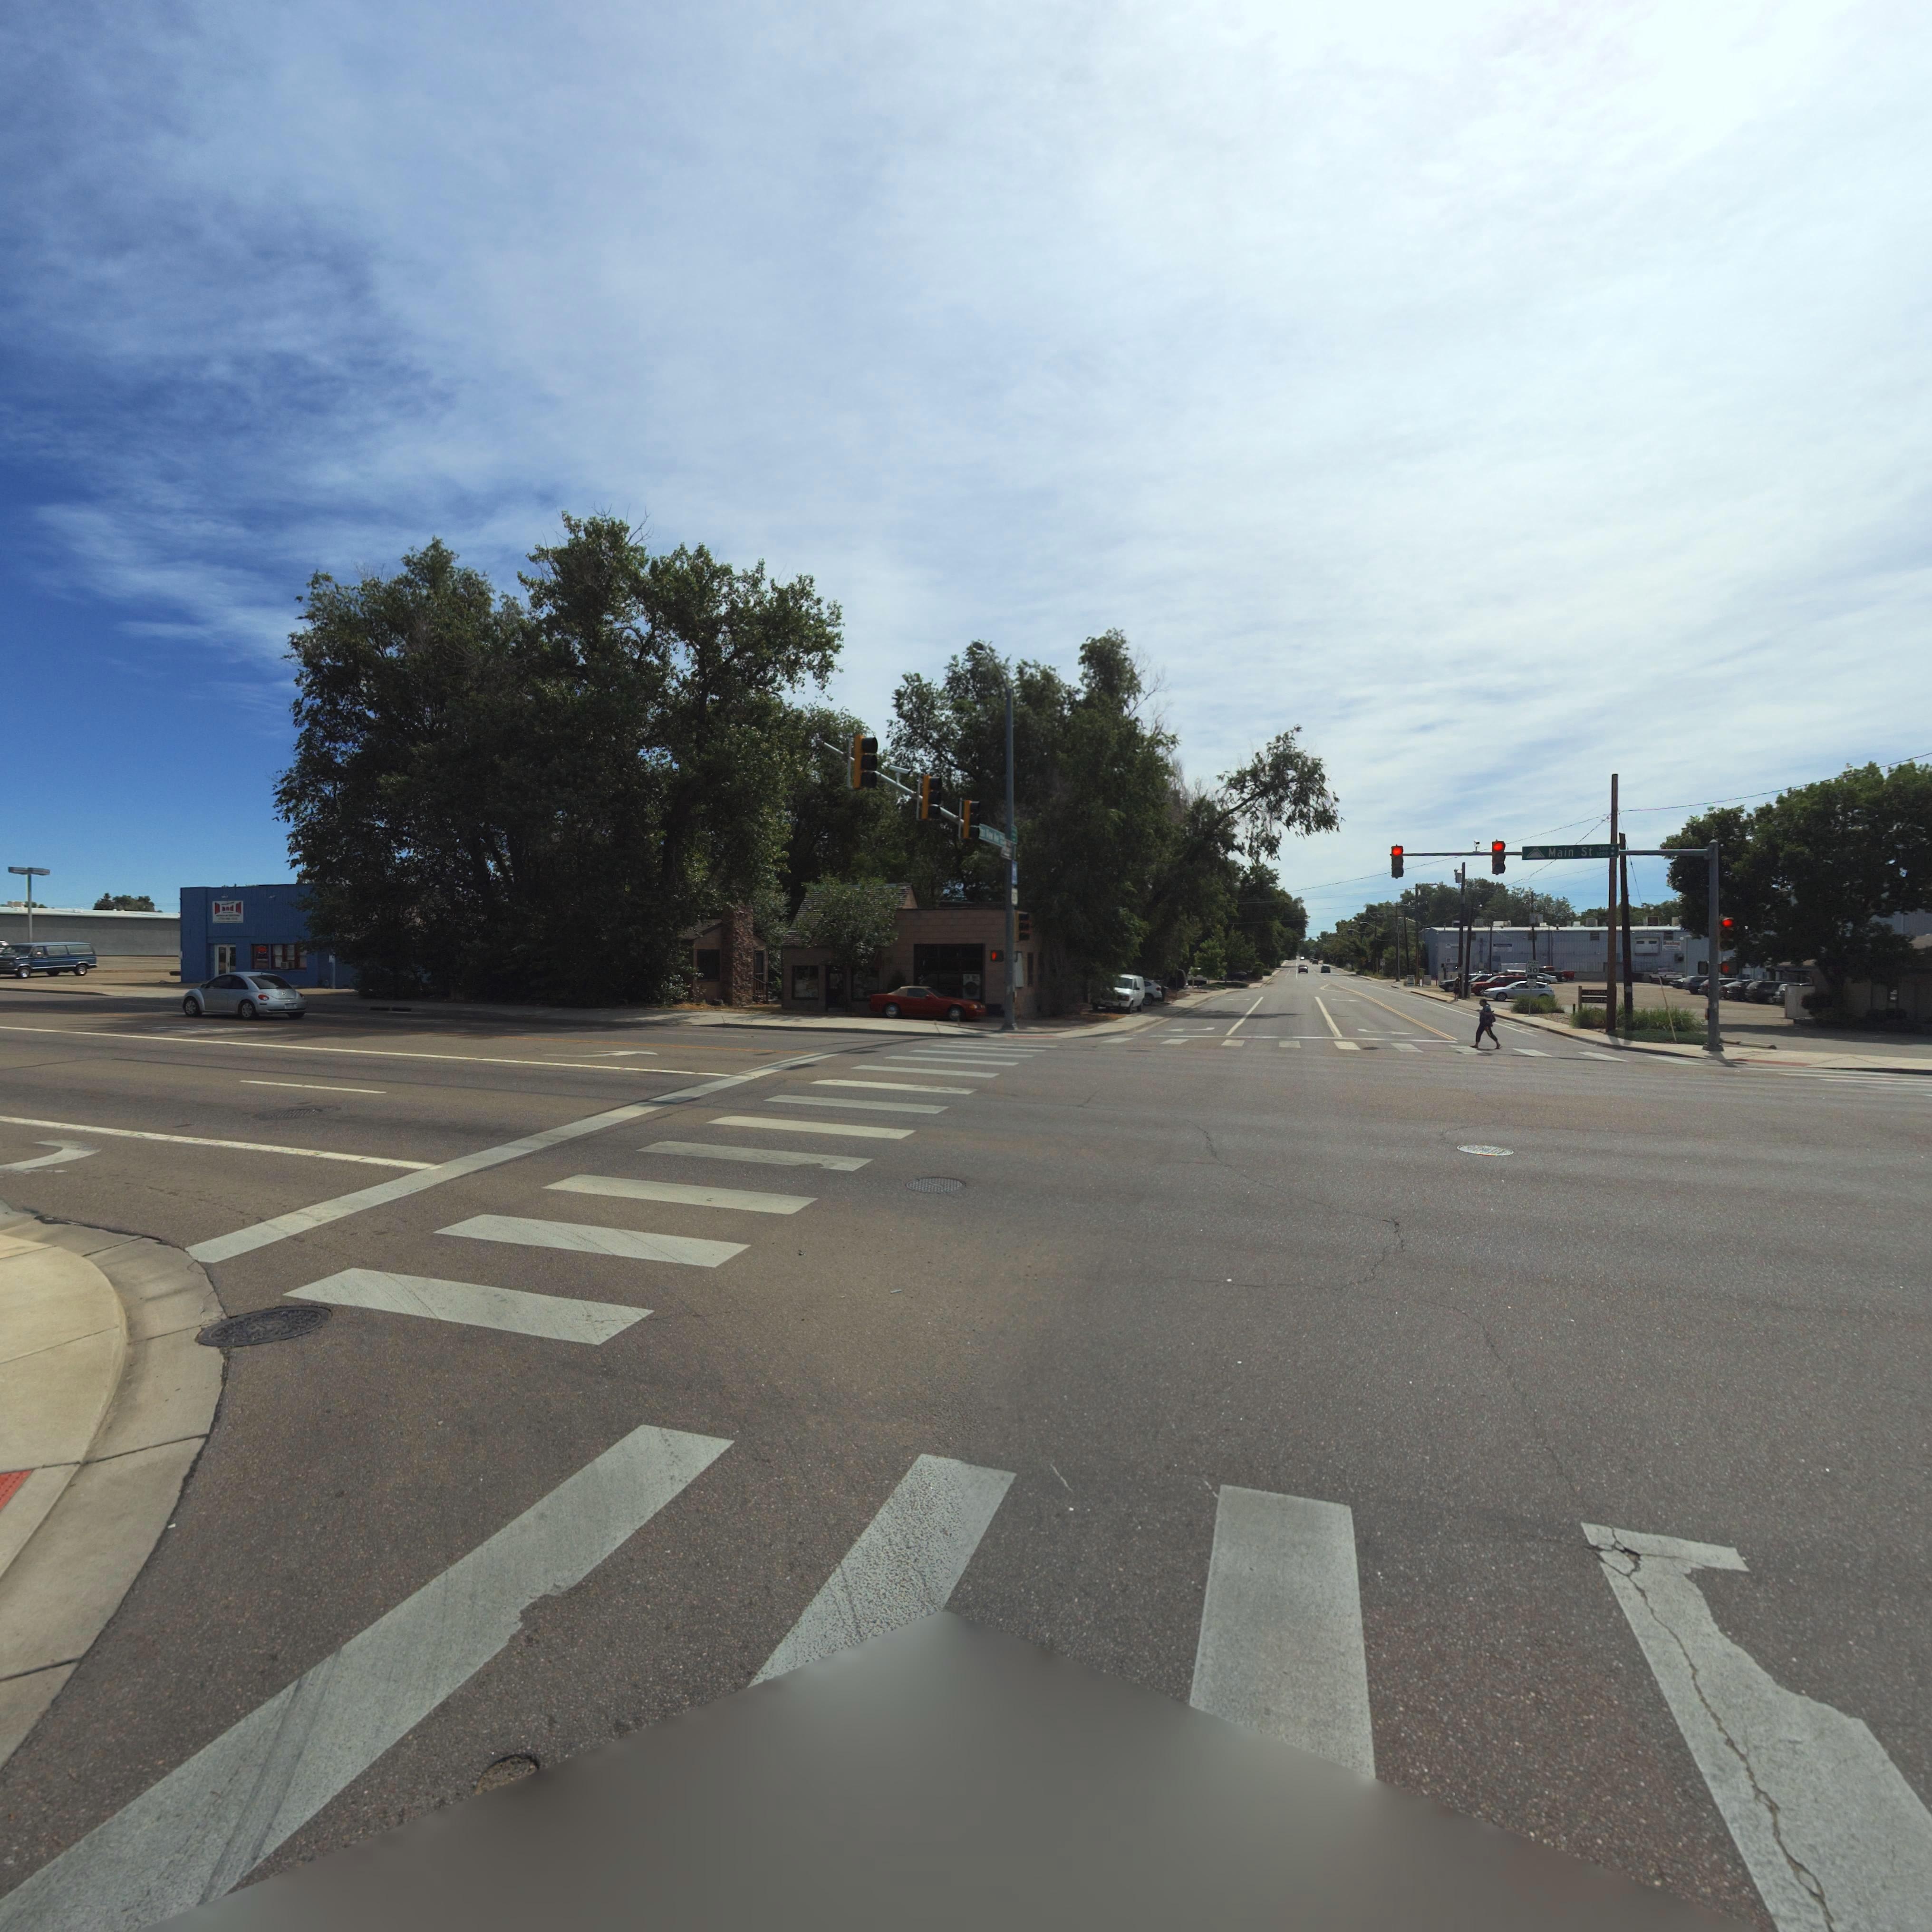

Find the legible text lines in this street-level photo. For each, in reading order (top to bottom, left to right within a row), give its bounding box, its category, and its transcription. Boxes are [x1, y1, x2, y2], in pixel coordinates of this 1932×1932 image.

[1598, 845, 1609, 850] StreetNumberRange: 50*
[1547, 846, 1593, 858] StreetName: Main St
[1596, 850, 1609, 856] StreetNumberRange: 120*
[214, 901, 241, 915] BusinessName: * **d *
[1587, 990, 1607, 995] BusinessName: ****A*
[1583, 997, 1608, 1003] BusinessName: *O***T*